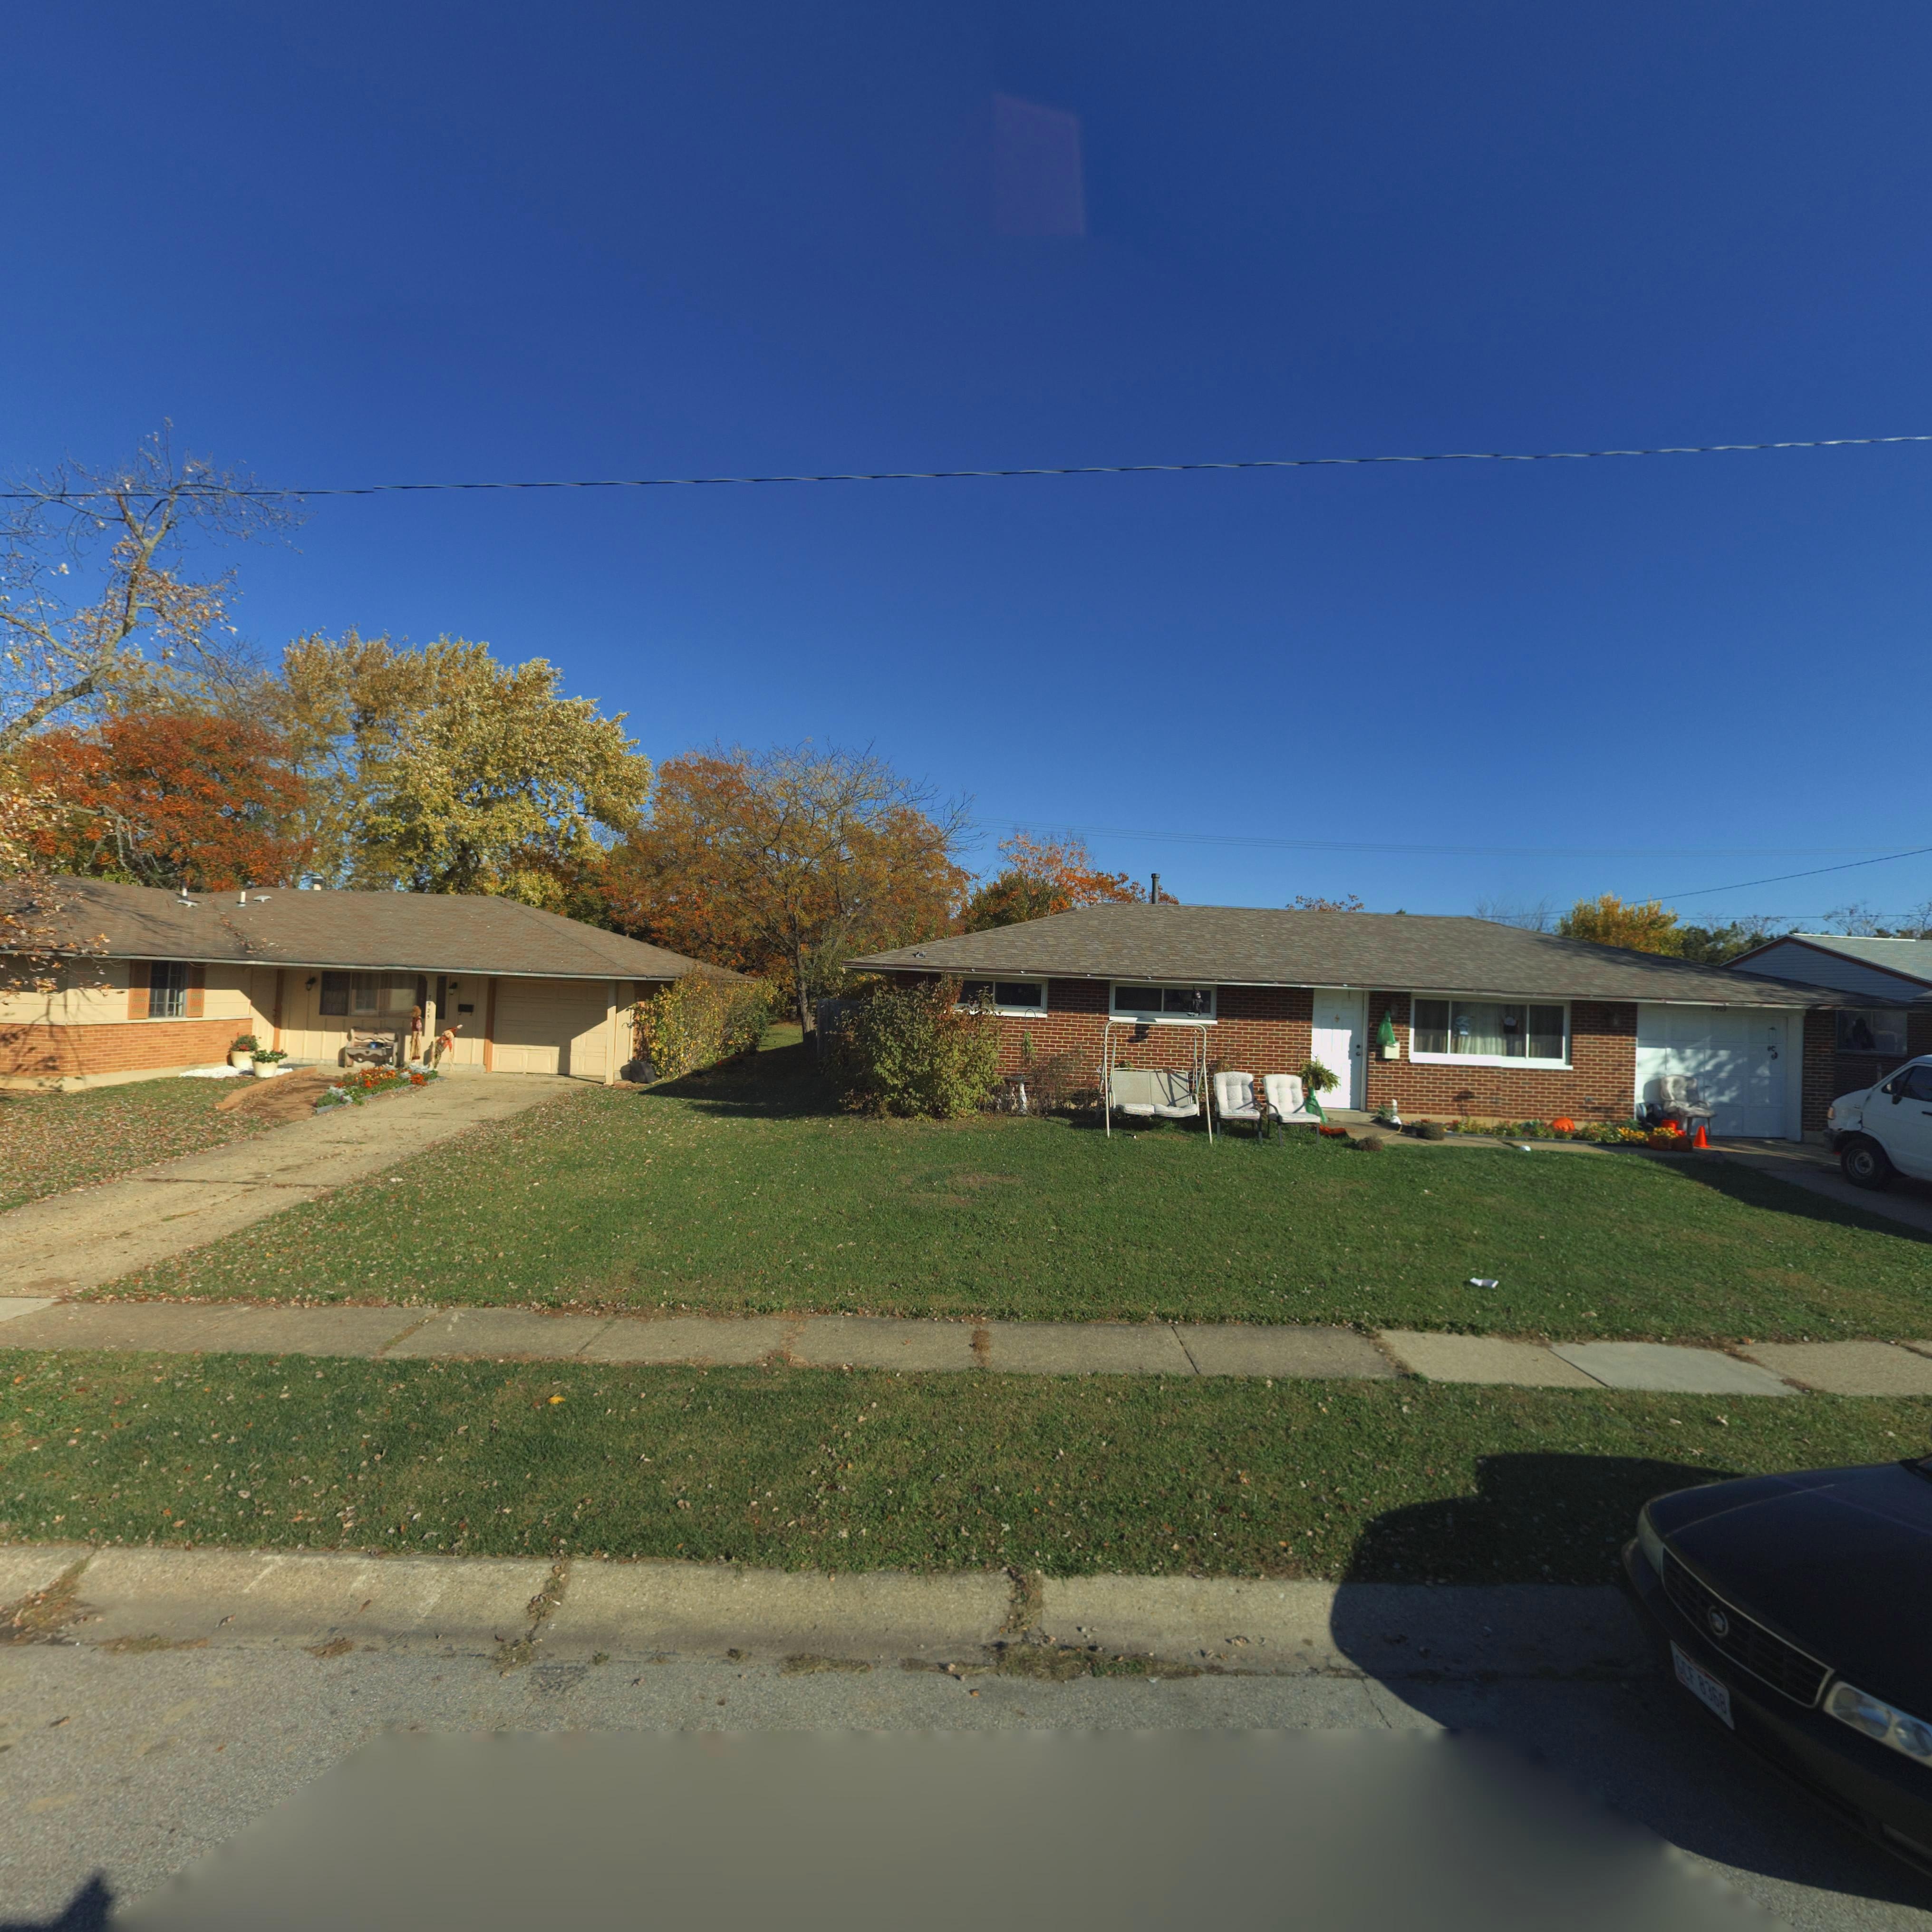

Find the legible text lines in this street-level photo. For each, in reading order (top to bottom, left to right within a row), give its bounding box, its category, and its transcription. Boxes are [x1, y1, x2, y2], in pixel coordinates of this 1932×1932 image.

[426, 994, 432, 1020] StreetNumber: 7925